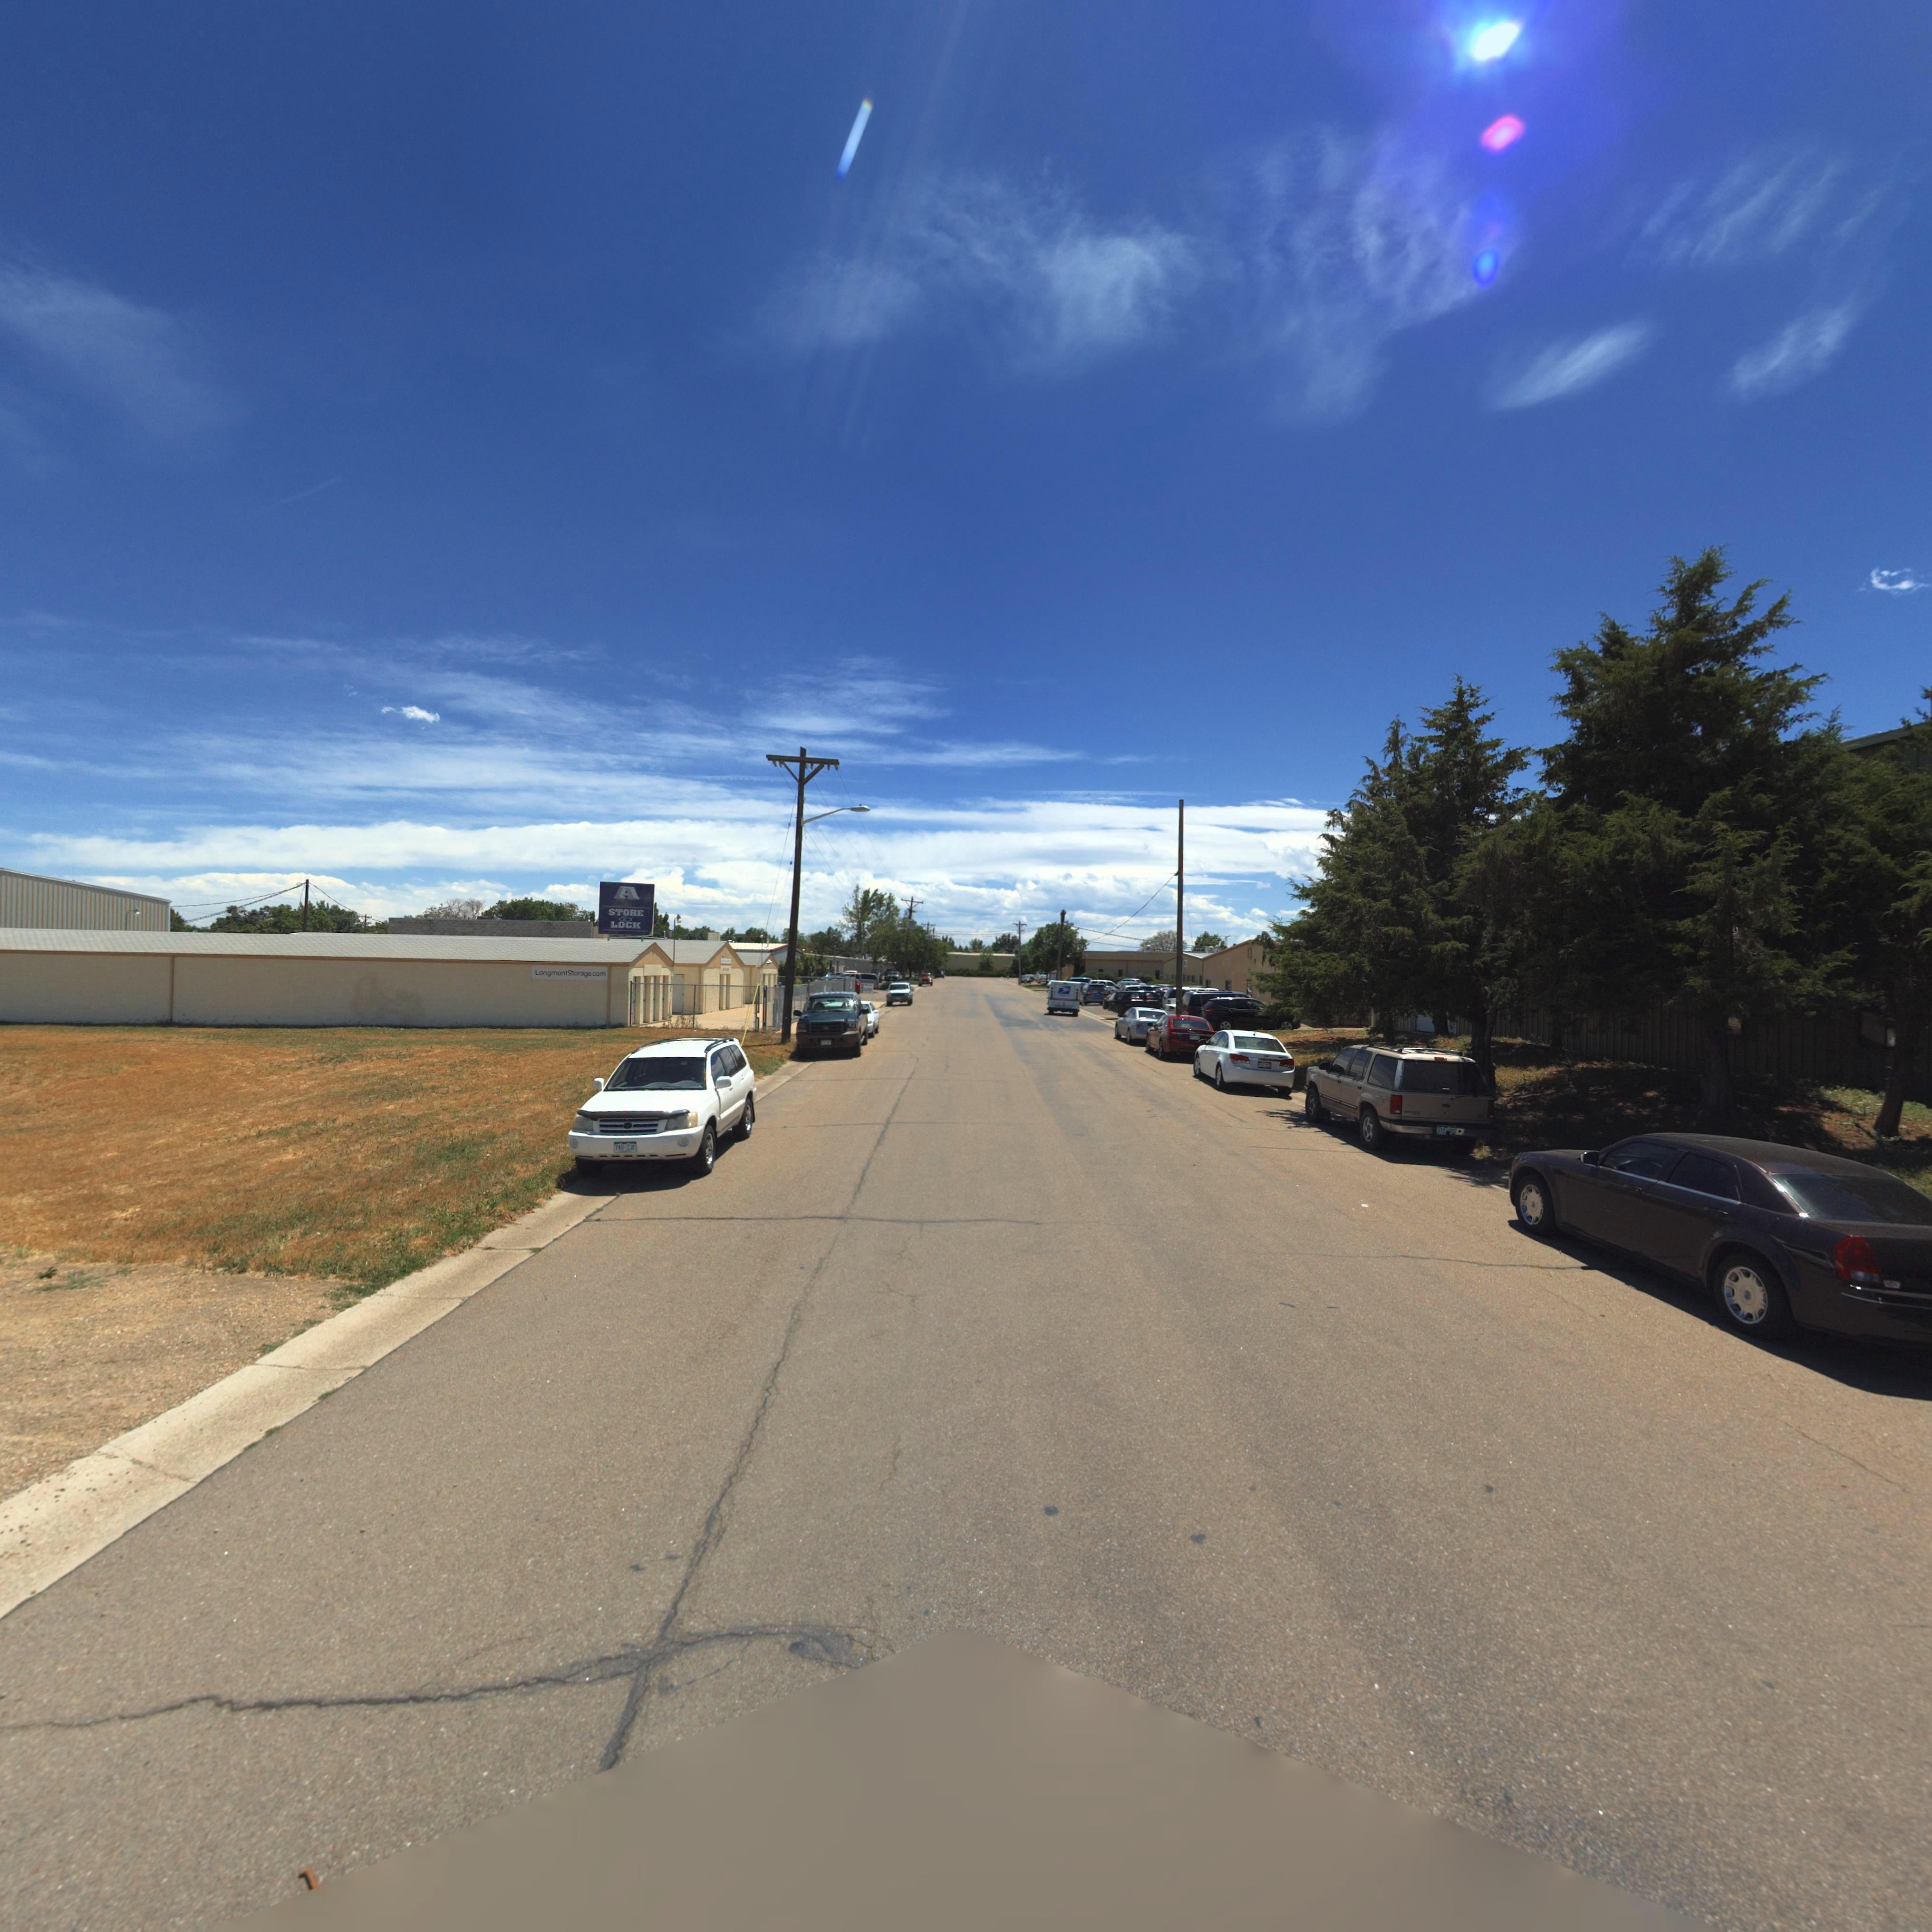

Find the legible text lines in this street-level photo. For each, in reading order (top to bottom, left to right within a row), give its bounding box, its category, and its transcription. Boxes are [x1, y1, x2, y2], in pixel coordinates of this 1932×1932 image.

[613, 885, 640, 900] BusinessName: A
[608, 908, 644, 917] BusinessName: STORE
[618, 916, 634, 922] BusinessName: &
[610, 921, 641, 928] BusinessName: LOCK